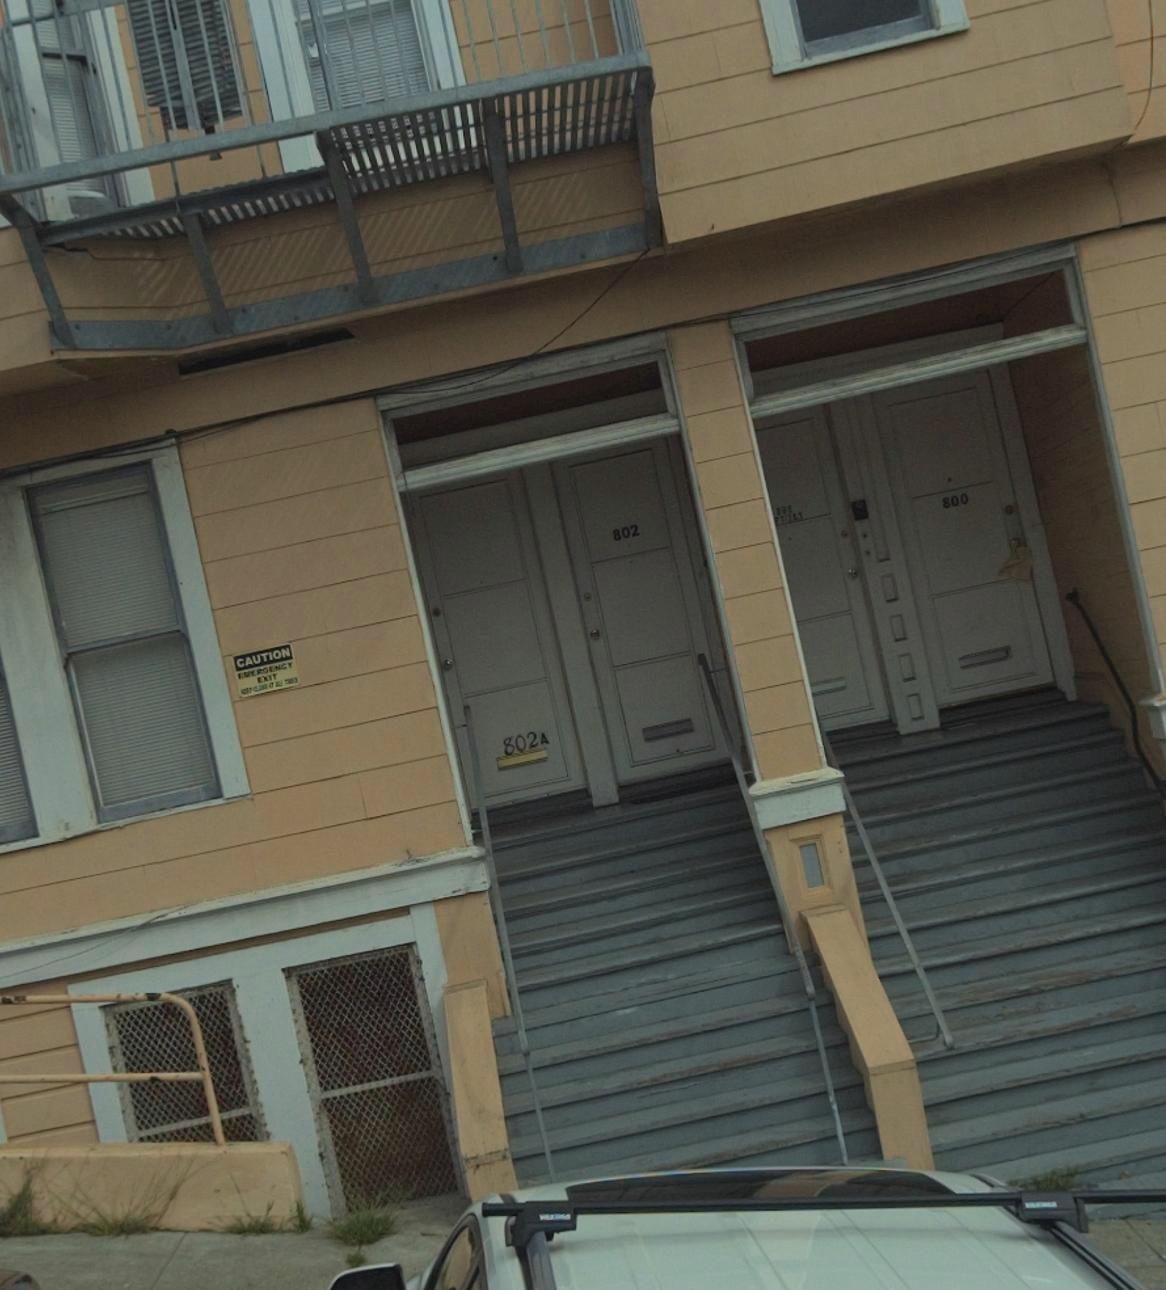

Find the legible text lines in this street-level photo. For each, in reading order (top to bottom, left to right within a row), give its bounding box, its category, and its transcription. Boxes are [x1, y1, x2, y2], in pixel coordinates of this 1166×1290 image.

[941, 490, 970, 510] StreetNumber: 800
[611, 522, 641, 543] StreetNumber: 802
[234, 645, 292, 670] None: CAUTION
[236, 659, 294, 681] None: EMERGENCY
[256, 673, 280, 685] None: EXIT
[502, 728, 552, 758] StreetNumber: 802A